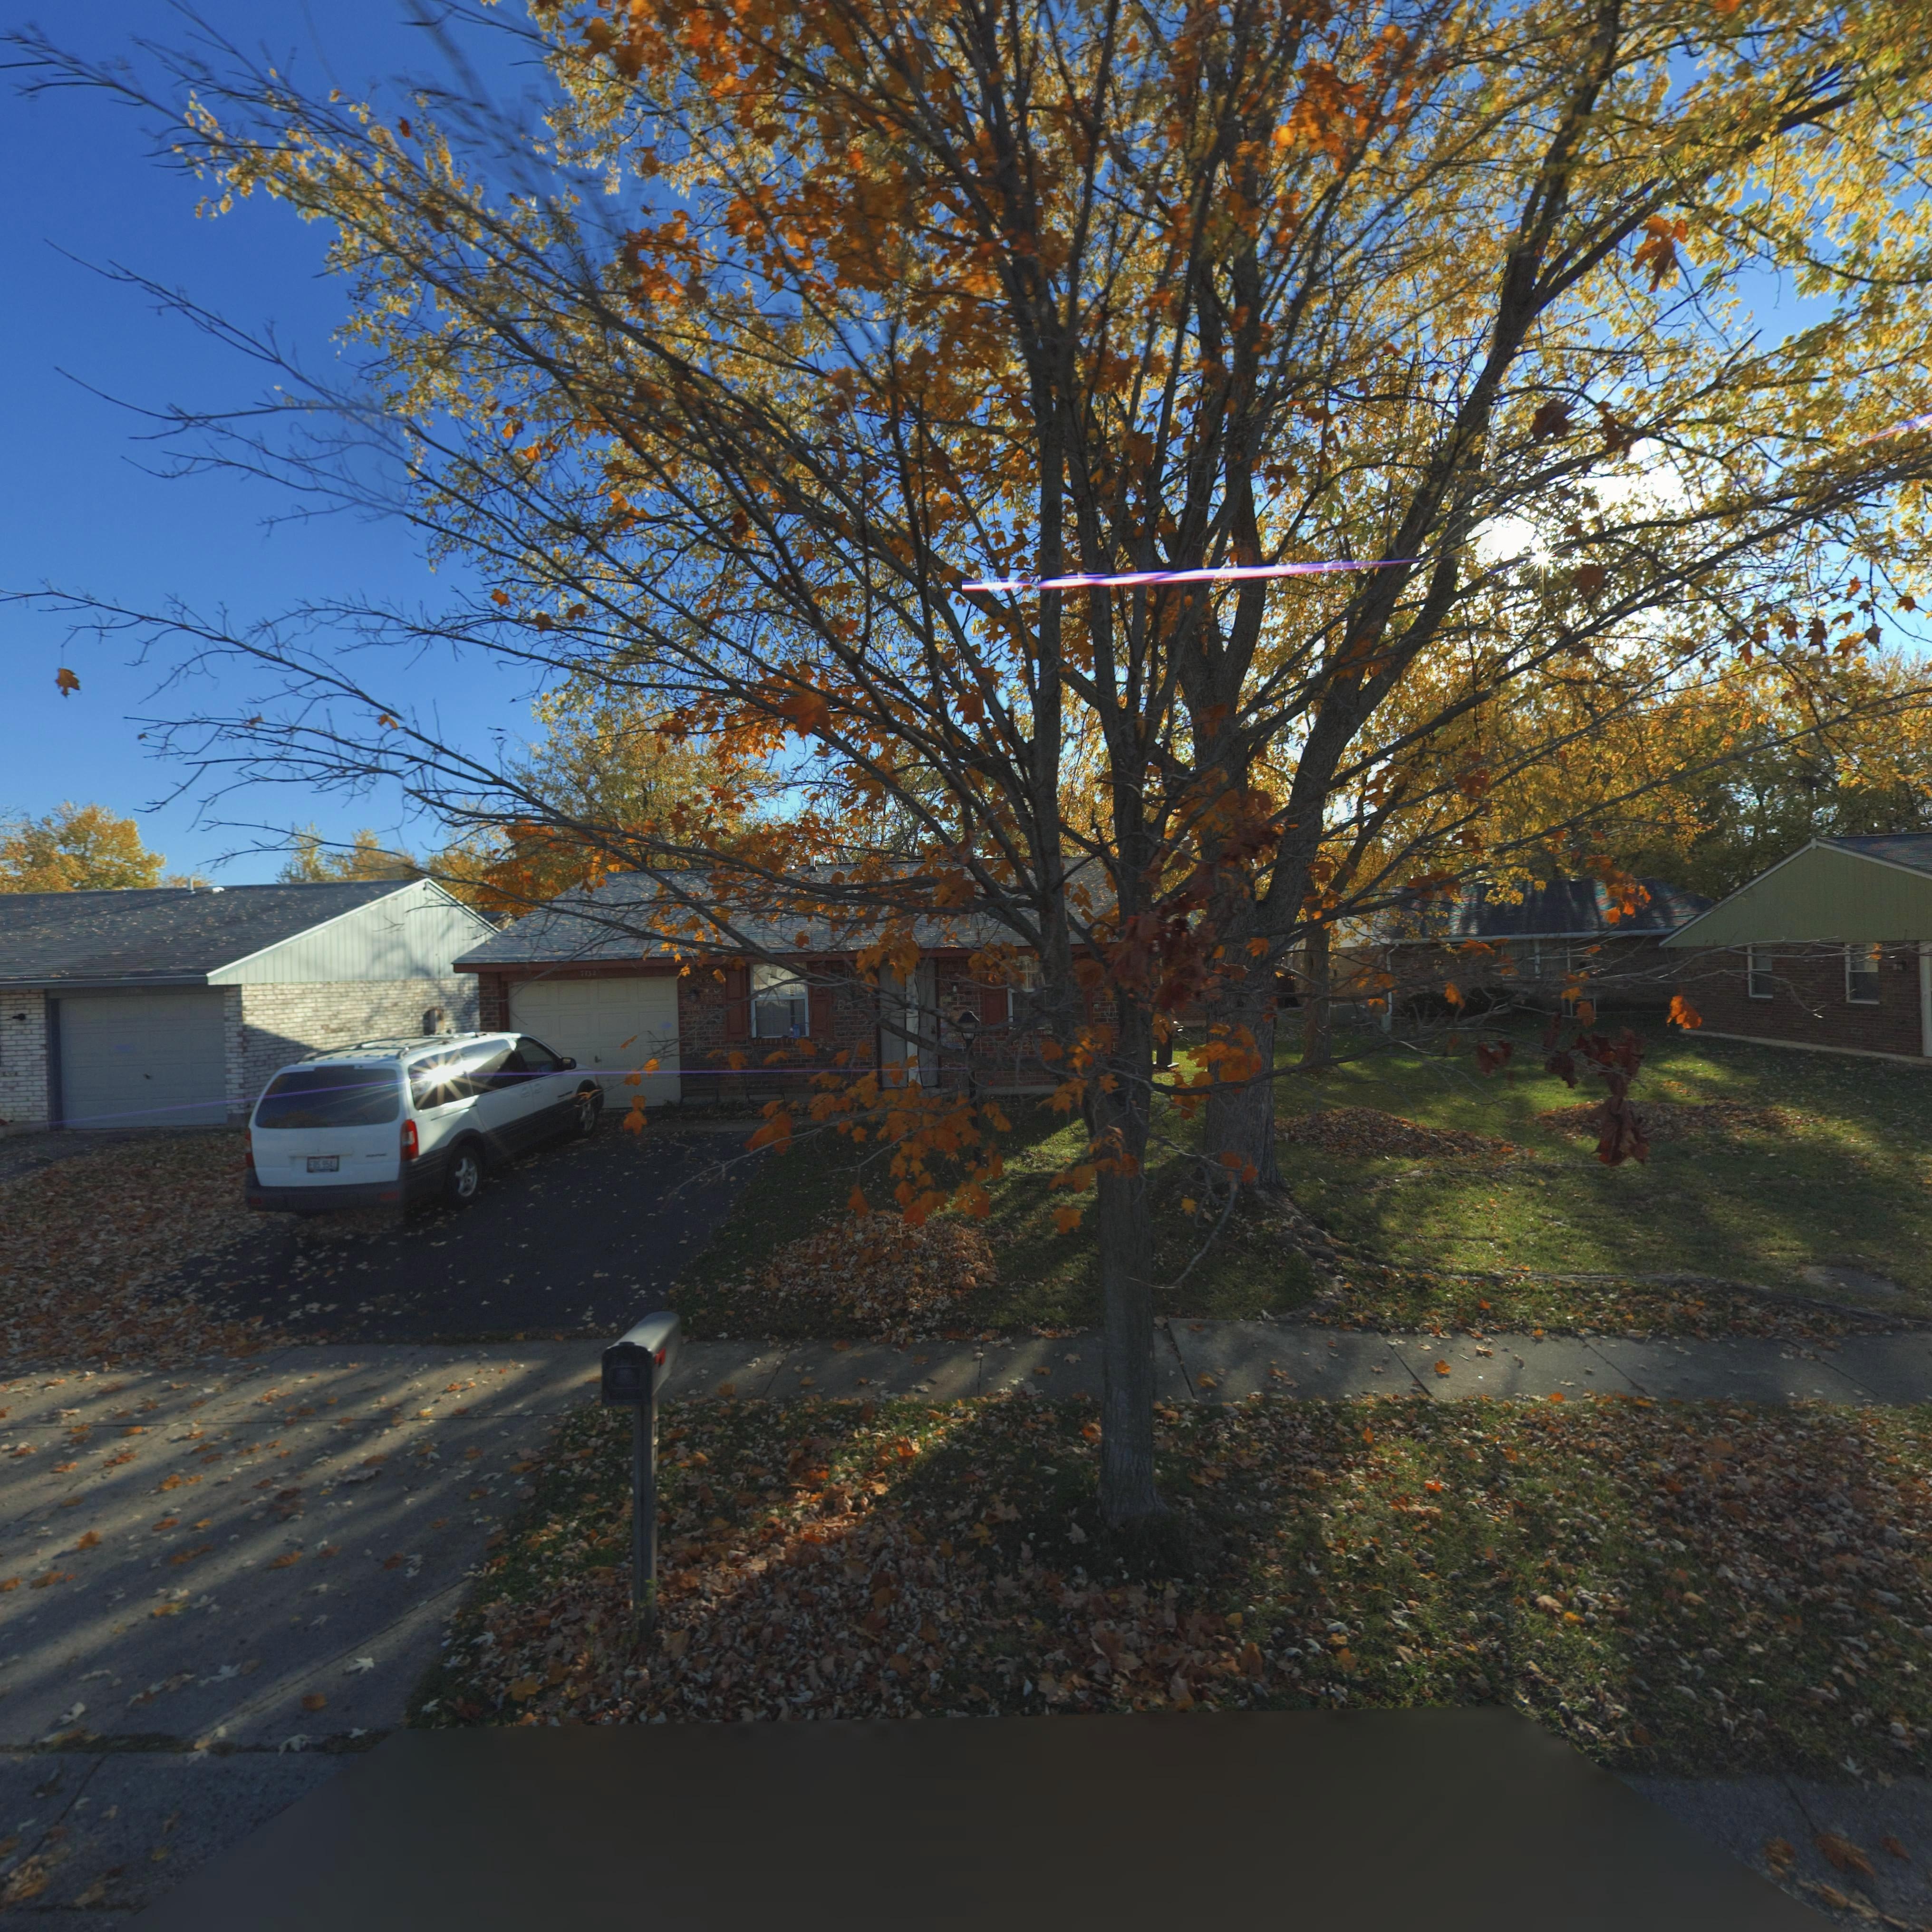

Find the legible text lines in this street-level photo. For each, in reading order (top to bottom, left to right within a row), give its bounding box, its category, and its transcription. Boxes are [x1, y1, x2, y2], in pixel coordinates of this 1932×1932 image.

[578, 969, 599, 978] StreetNumber: 7**2
[651, 1410, 661, 1525] StreetNumber: 77**